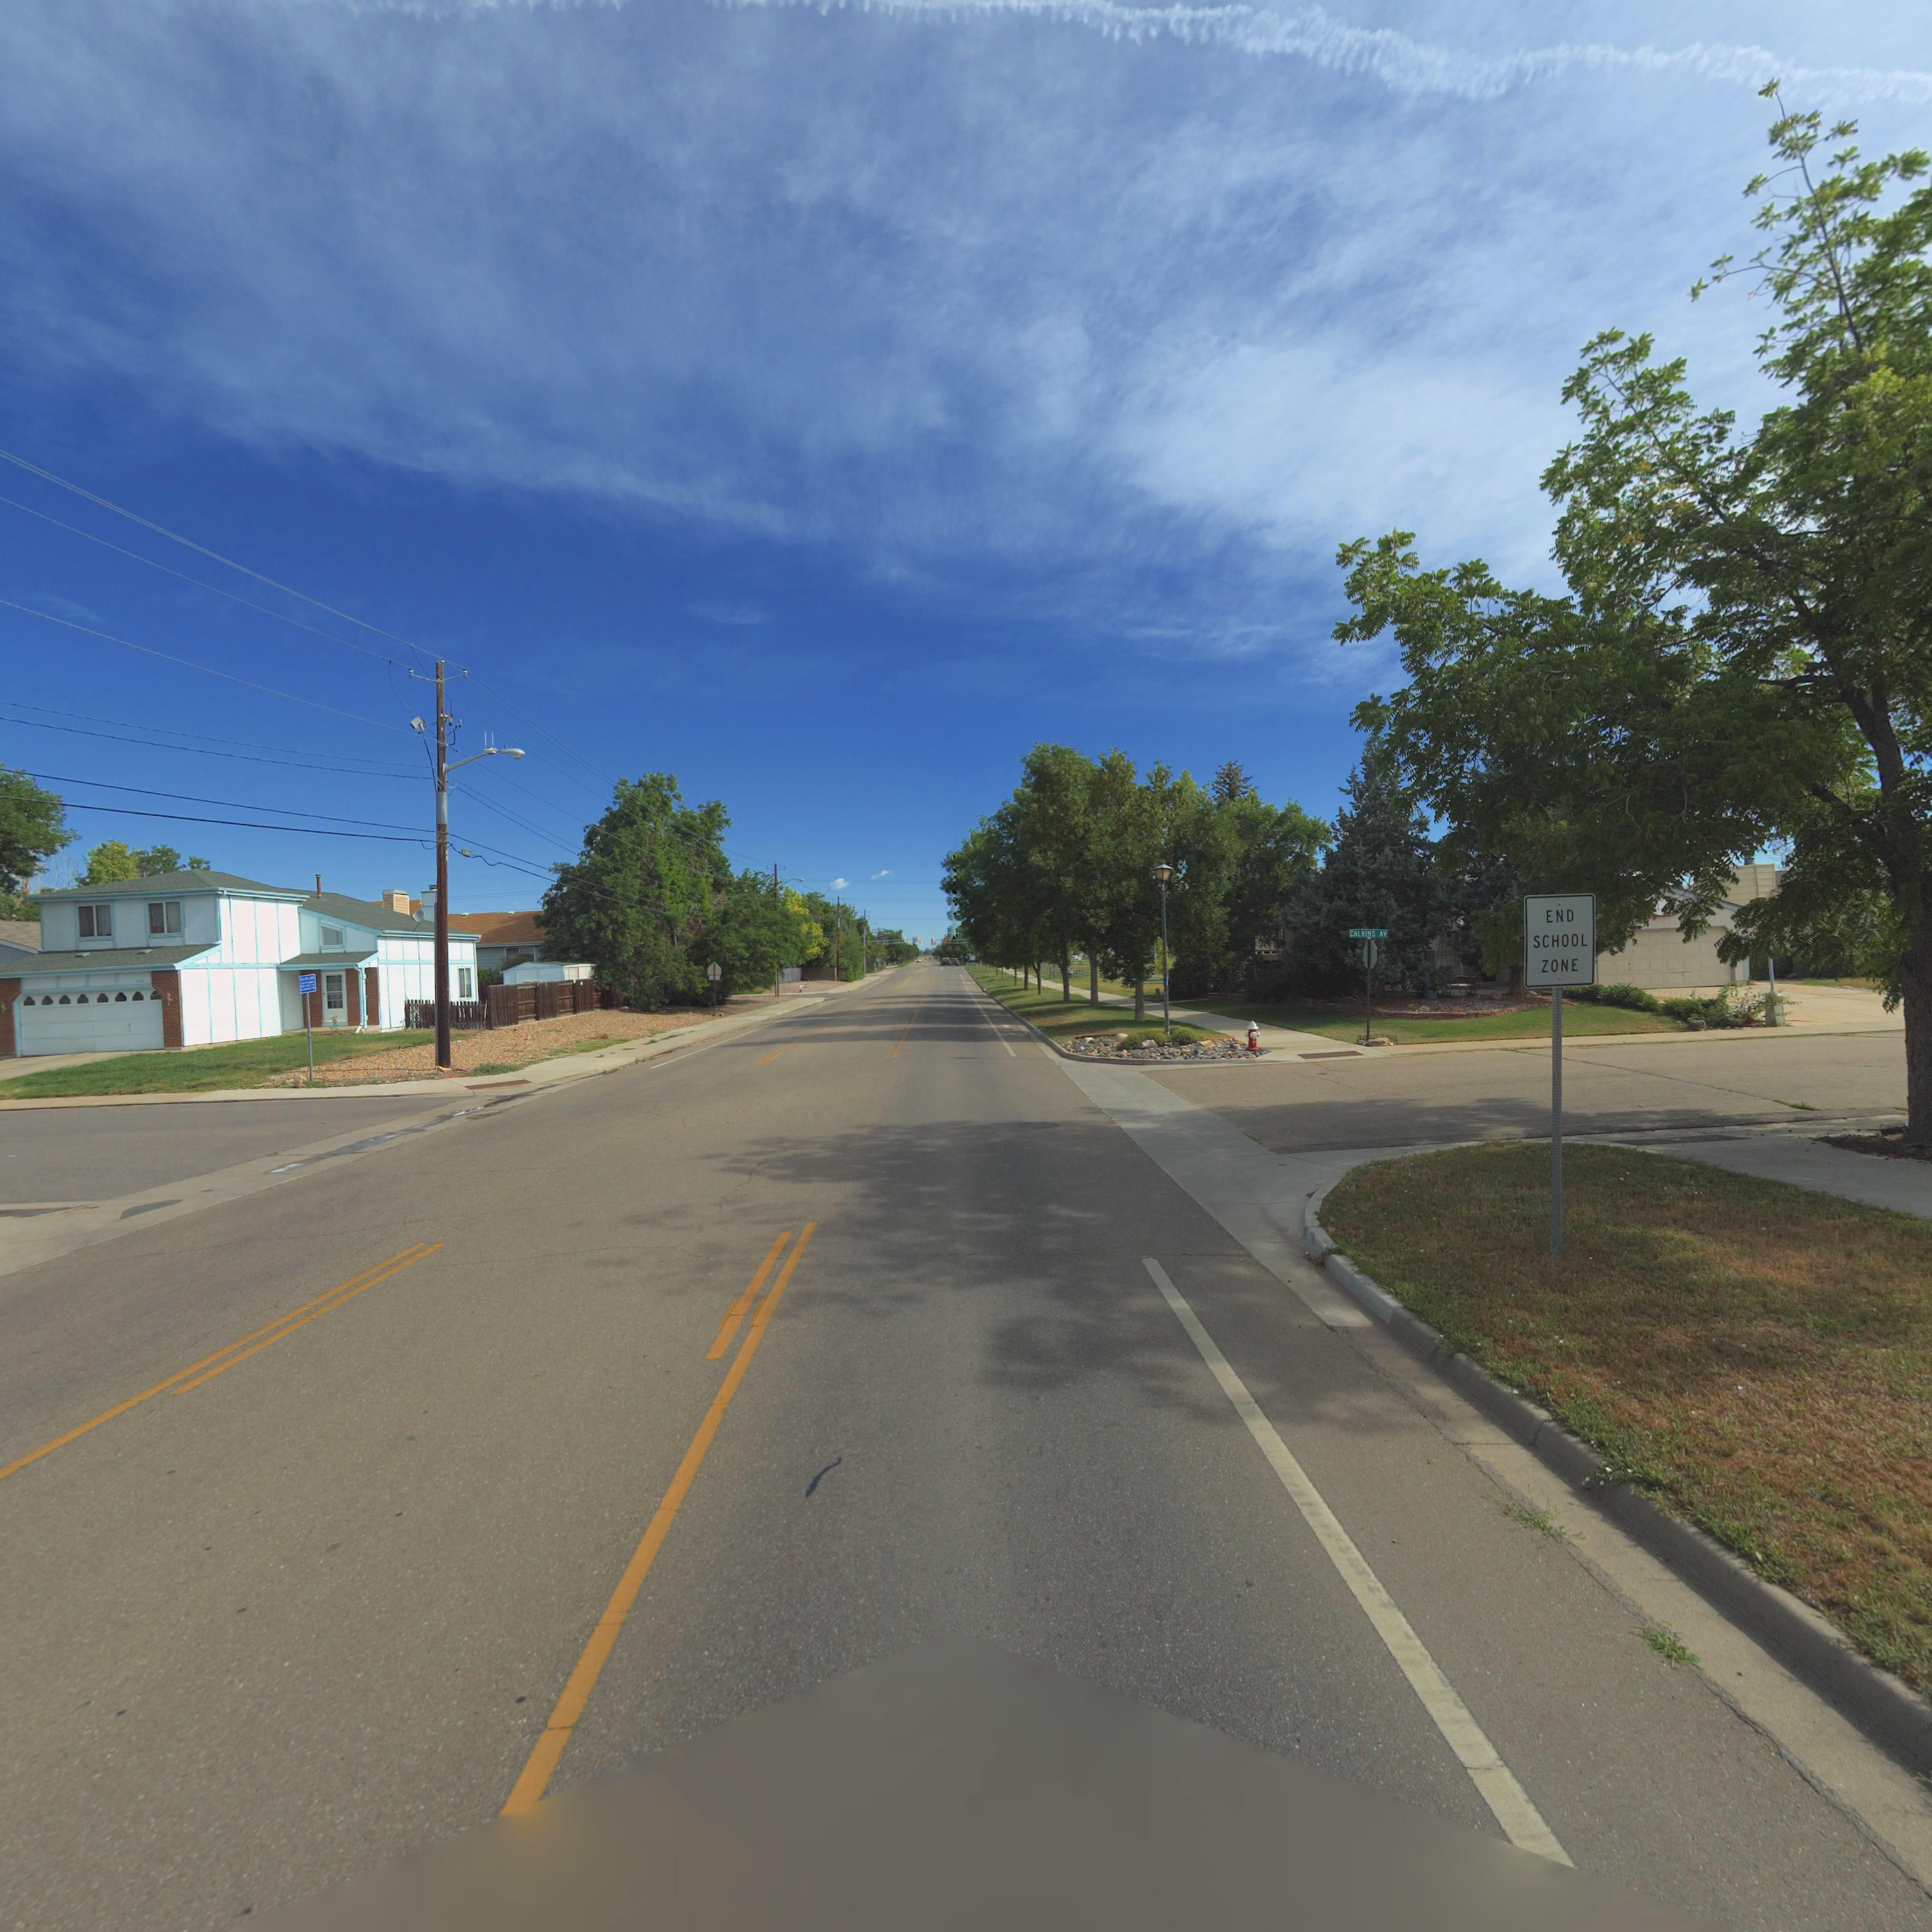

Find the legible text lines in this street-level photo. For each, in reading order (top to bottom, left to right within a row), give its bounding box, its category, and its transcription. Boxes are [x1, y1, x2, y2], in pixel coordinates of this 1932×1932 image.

[1349, 930, 1387, 937] StreetName: CALKINS AV
[135, 978, 145, 983] StreetNumber: 1***